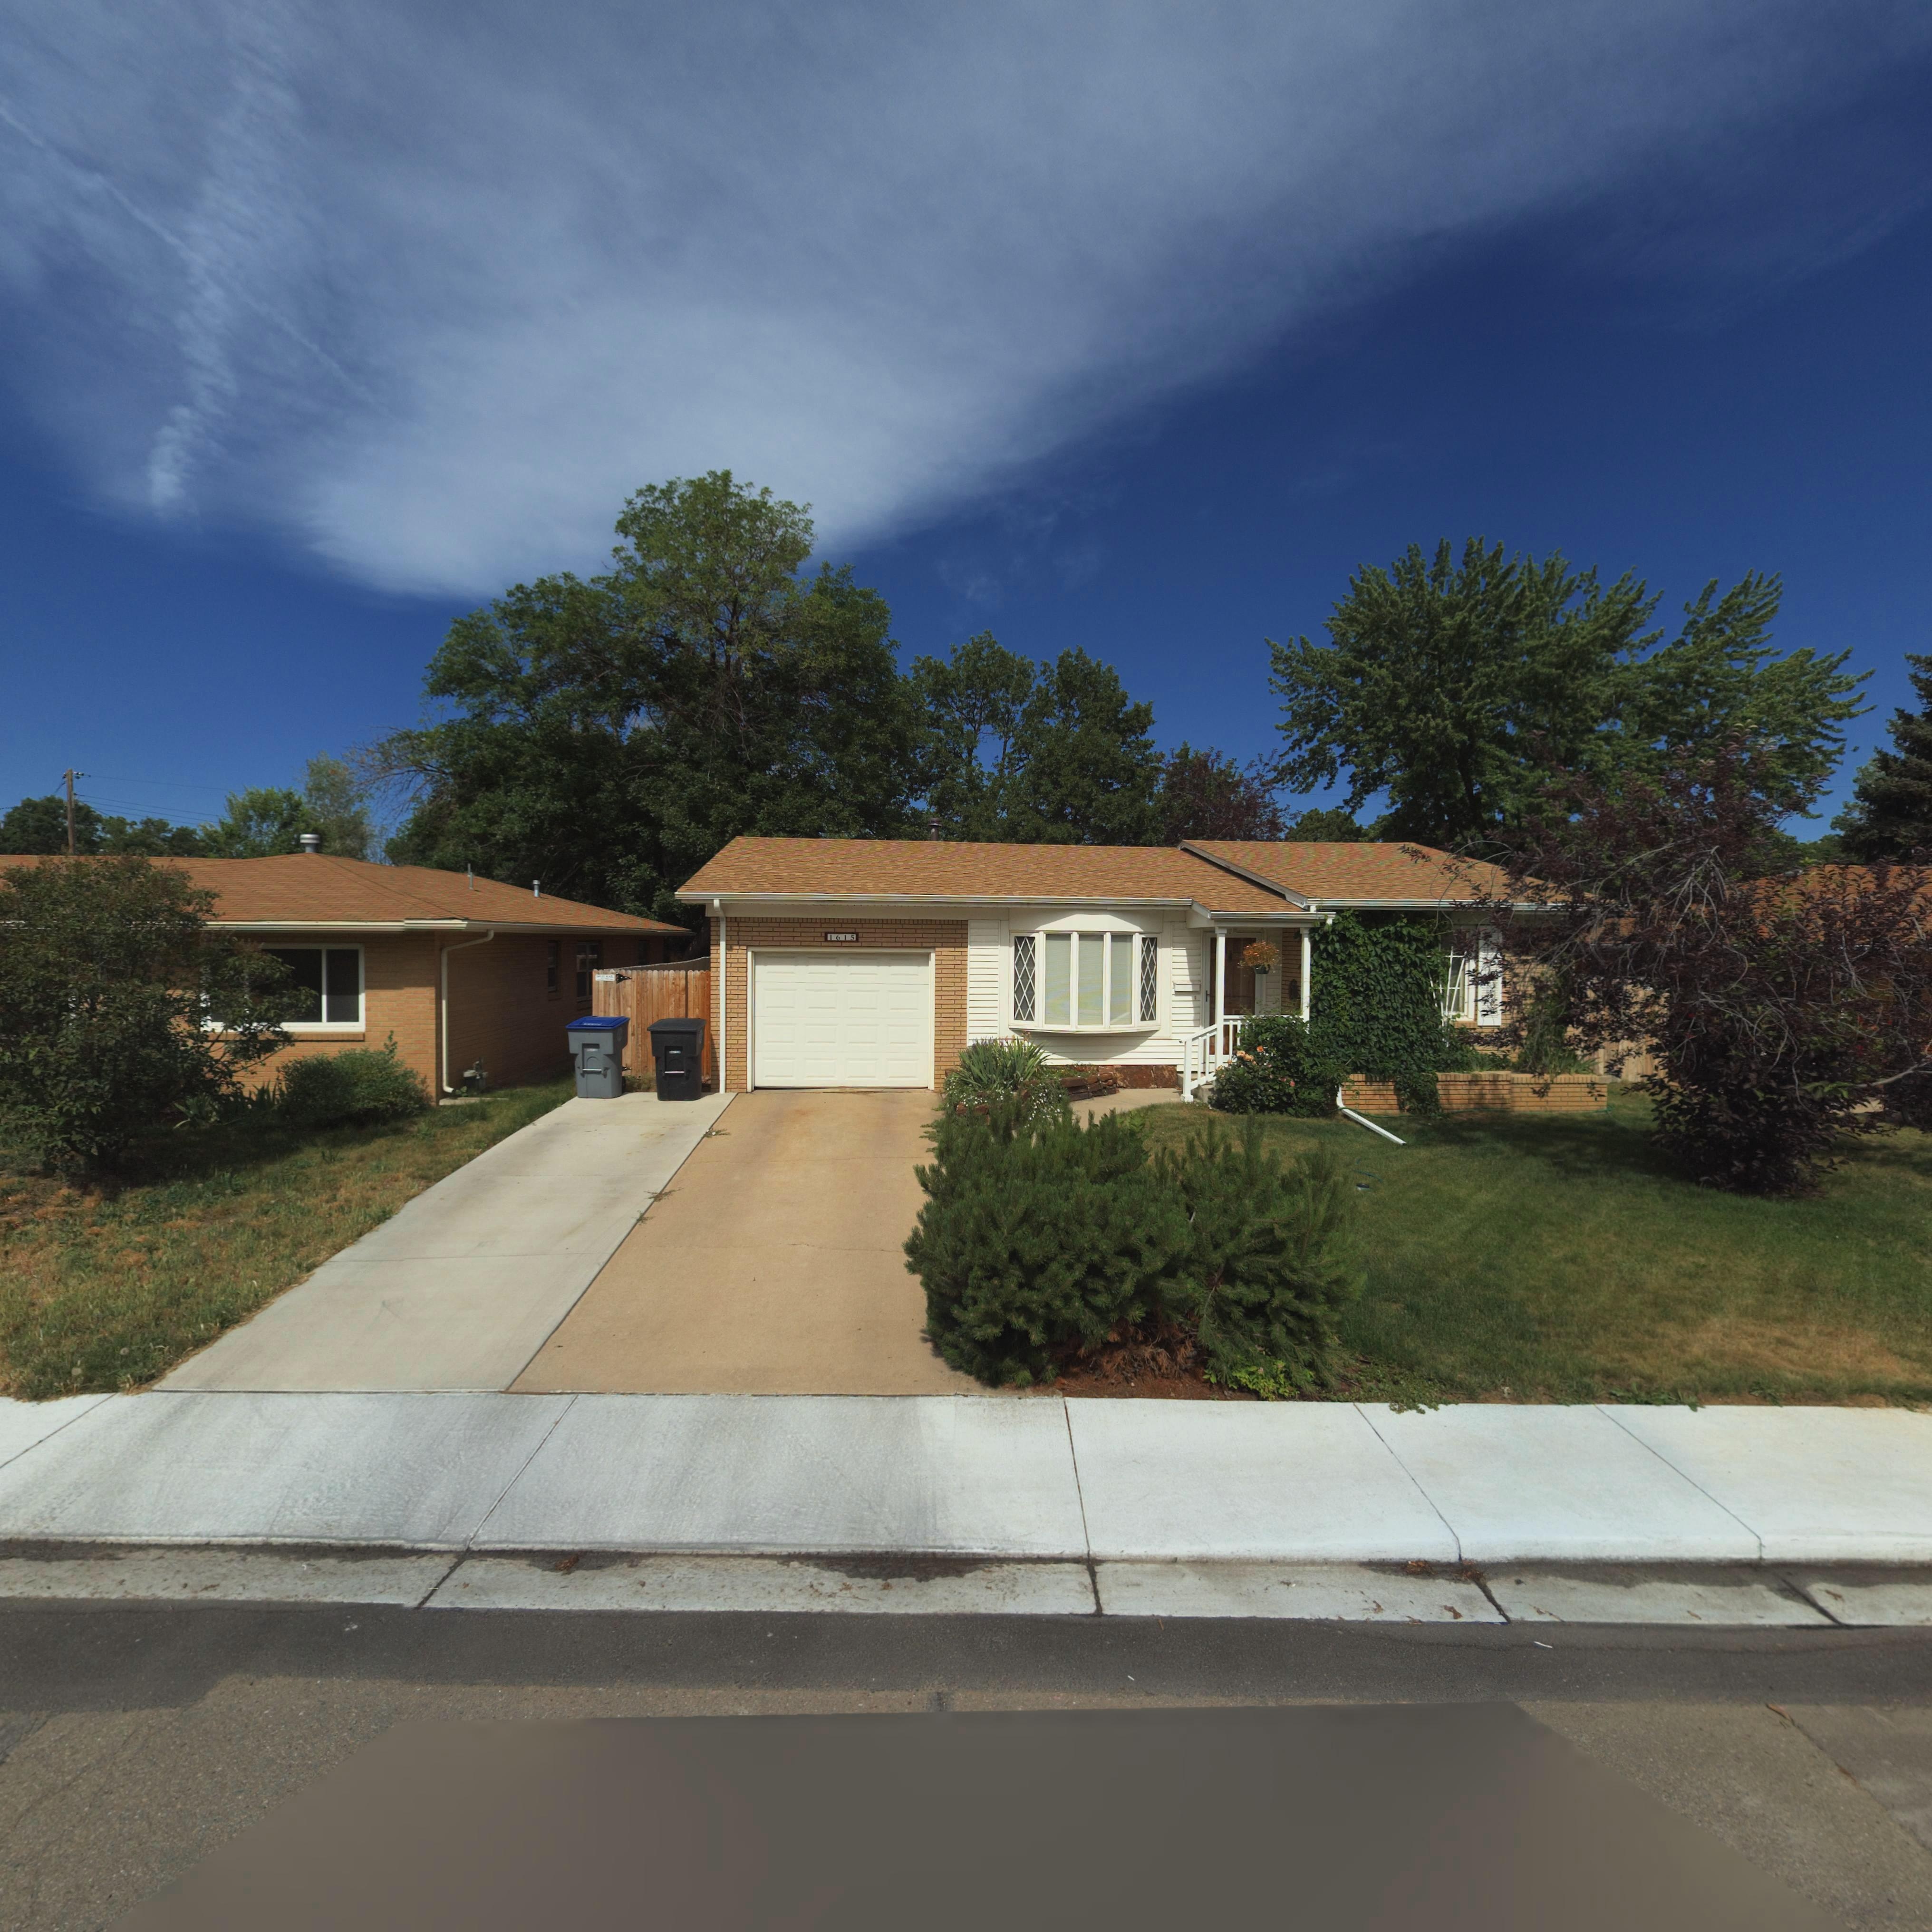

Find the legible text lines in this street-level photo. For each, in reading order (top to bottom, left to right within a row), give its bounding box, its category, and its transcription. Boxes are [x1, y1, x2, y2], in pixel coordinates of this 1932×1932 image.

[829, 934, 854, 940] StreetNumber: 1615